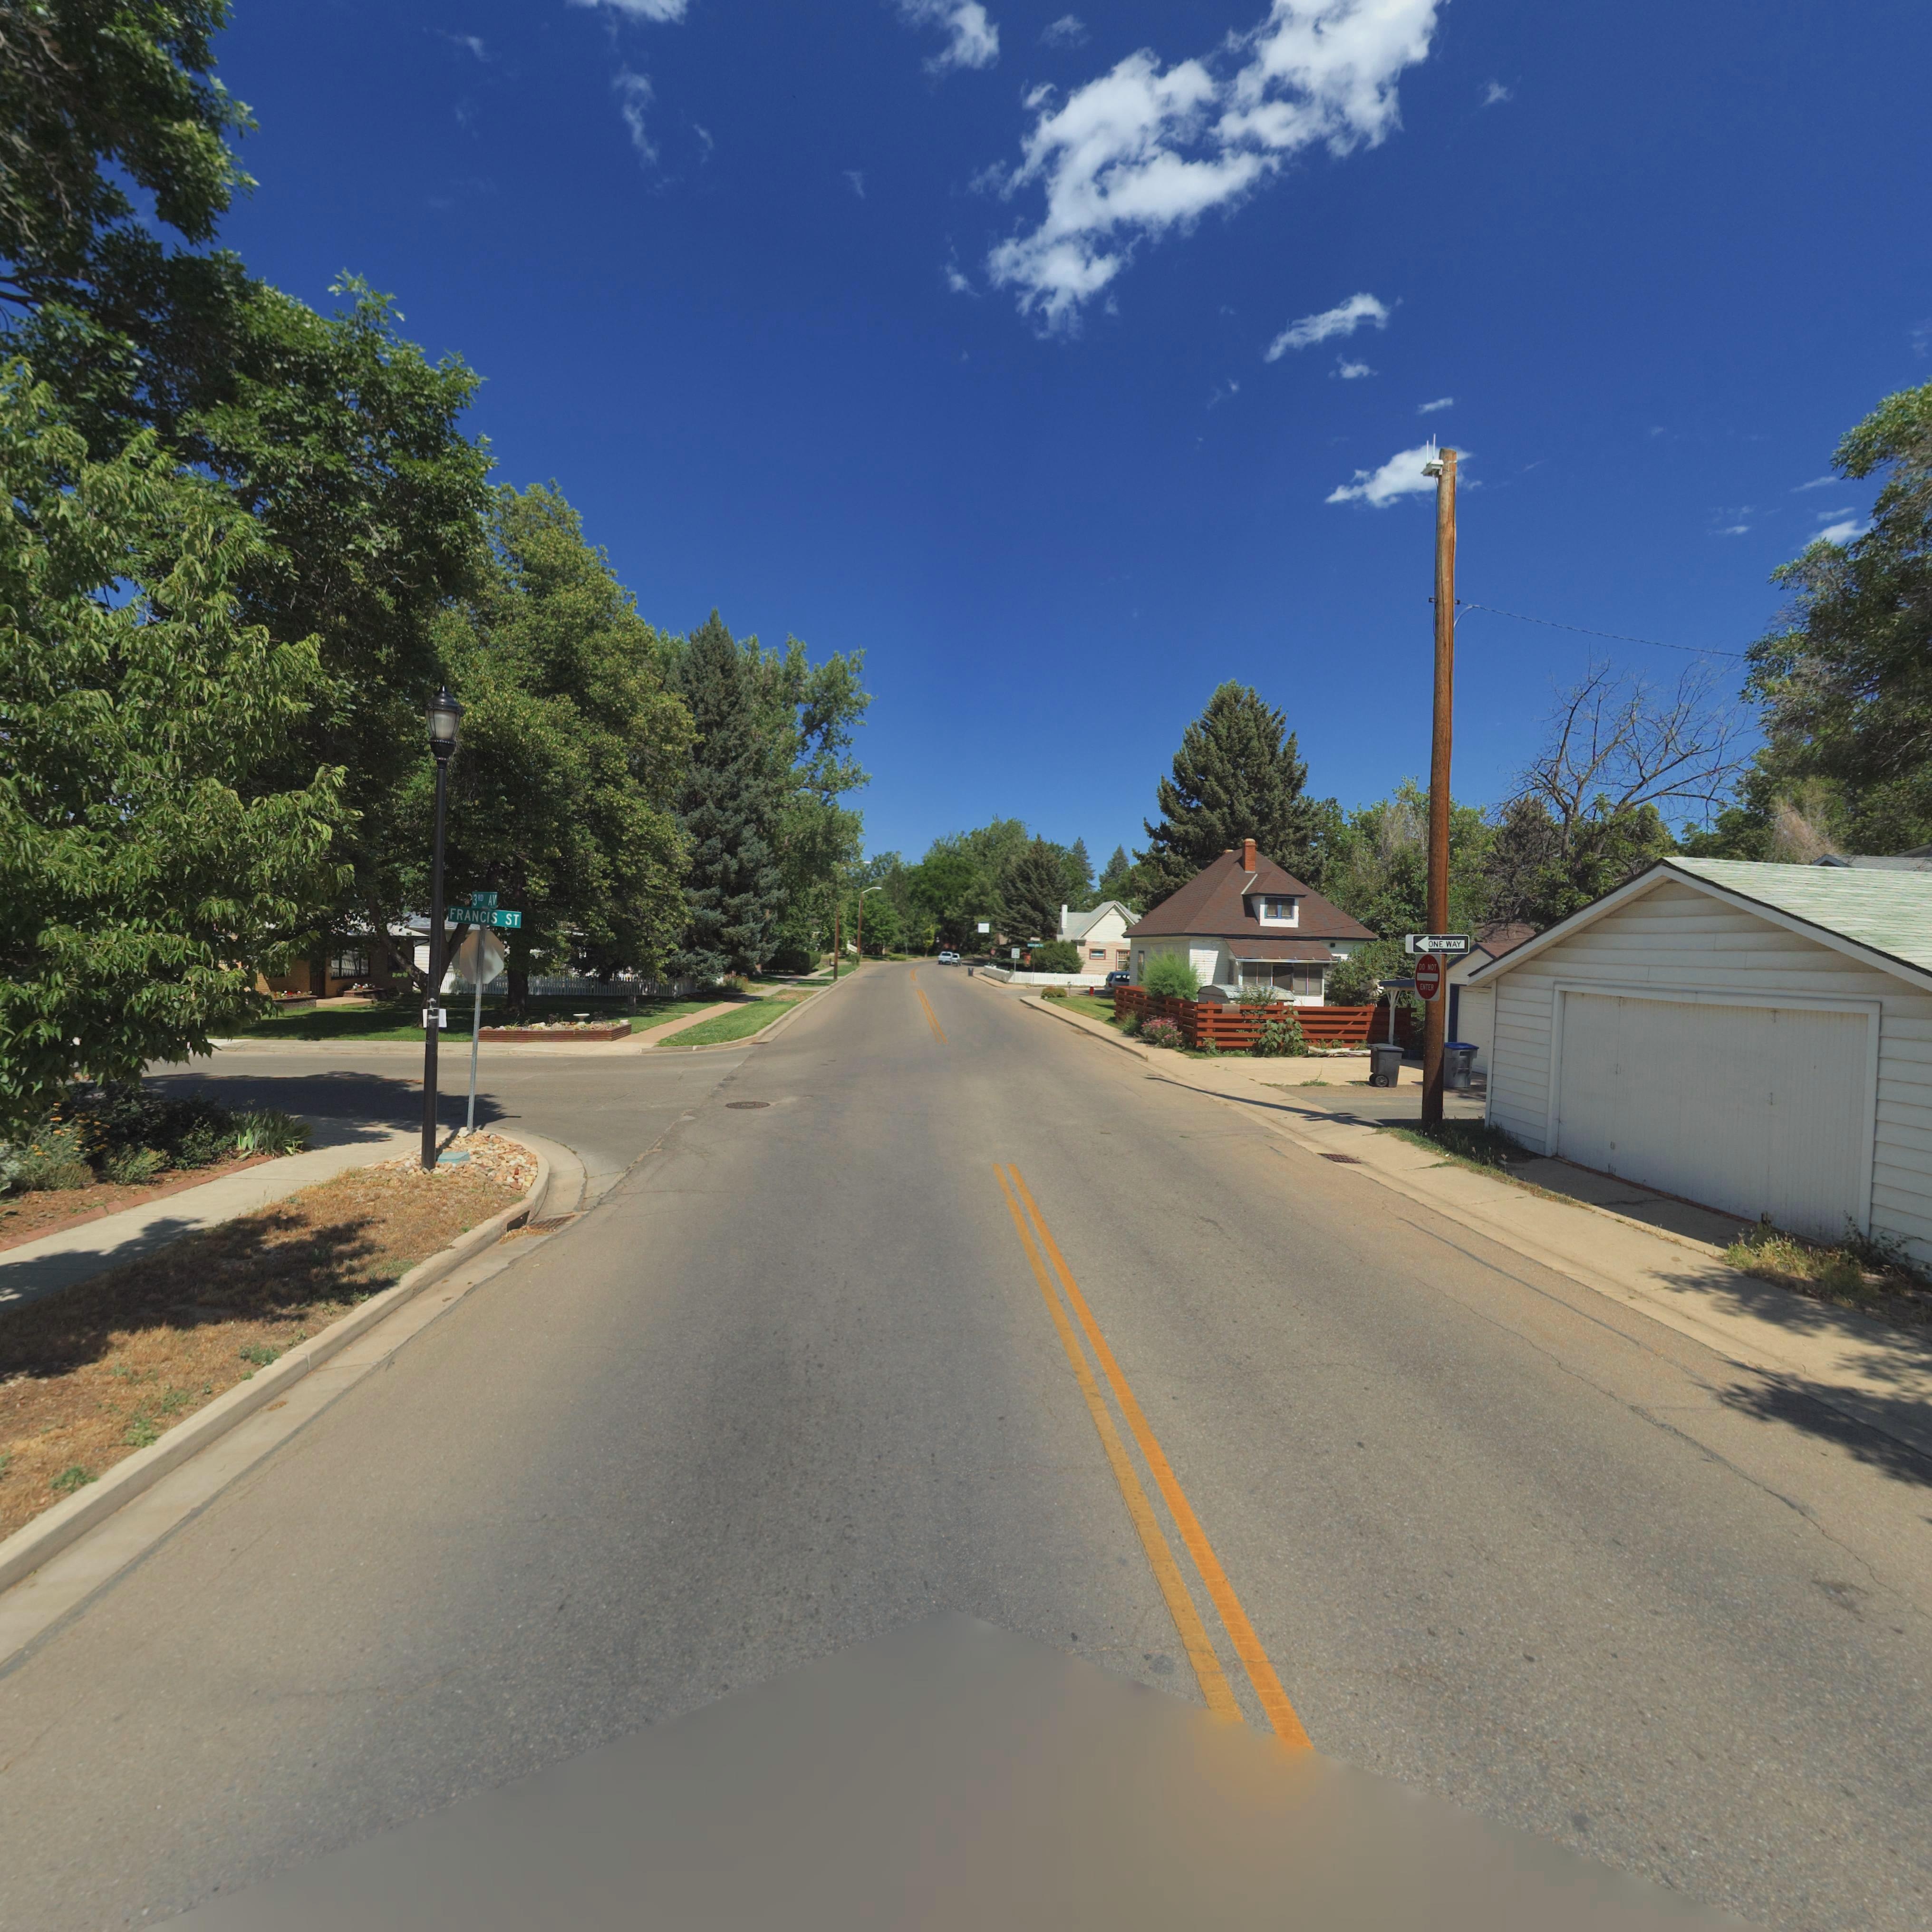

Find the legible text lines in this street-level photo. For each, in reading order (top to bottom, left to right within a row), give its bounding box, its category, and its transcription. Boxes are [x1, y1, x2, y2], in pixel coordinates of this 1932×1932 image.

[472, 893, 497, 907] StreetName: 3RD AV
[449, 908, 520, 926] StreetName: FRANCIS AV